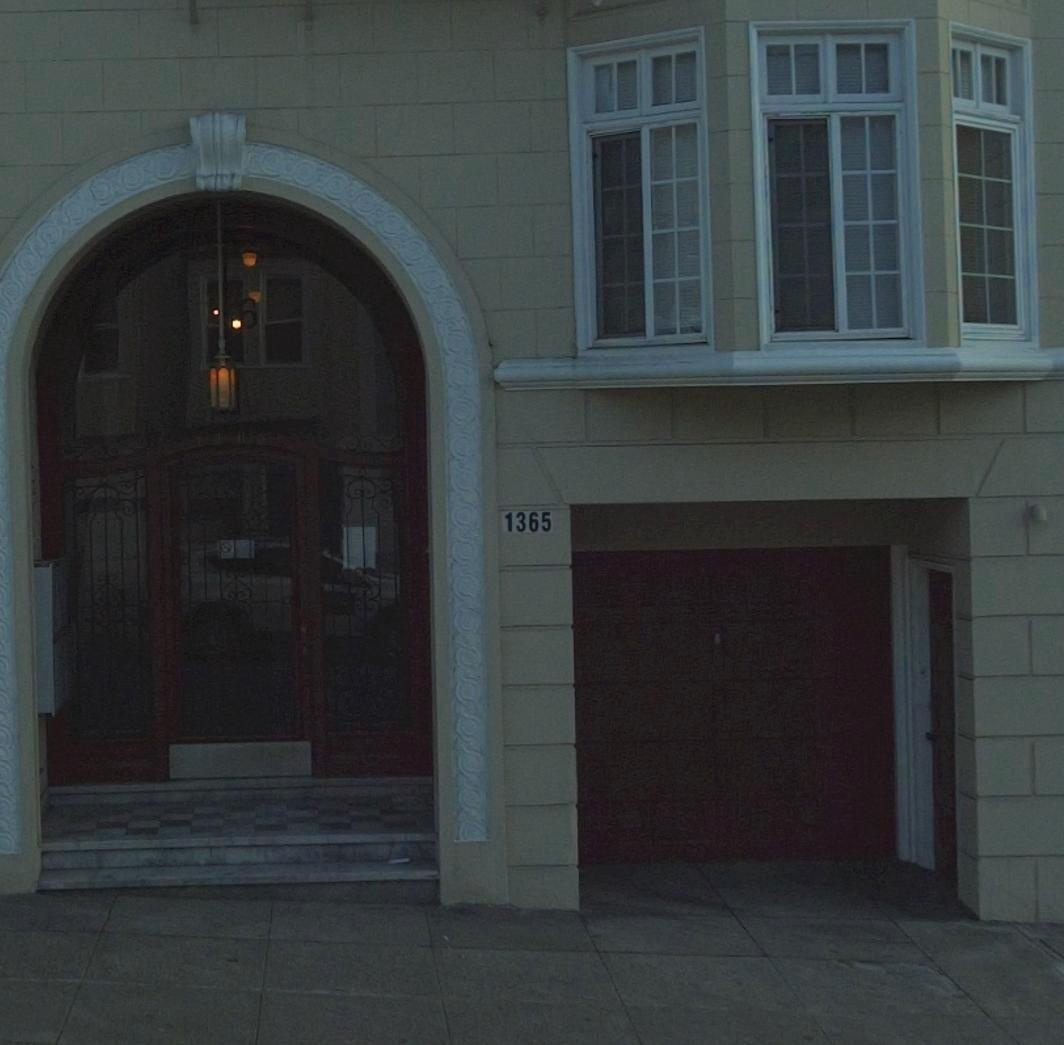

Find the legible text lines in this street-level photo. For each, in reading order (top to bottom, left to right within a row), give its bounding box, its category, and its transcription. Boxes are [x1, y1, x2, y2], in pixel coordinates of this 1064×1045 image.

[503, 510, 554, 535] StreetNumber: 1365